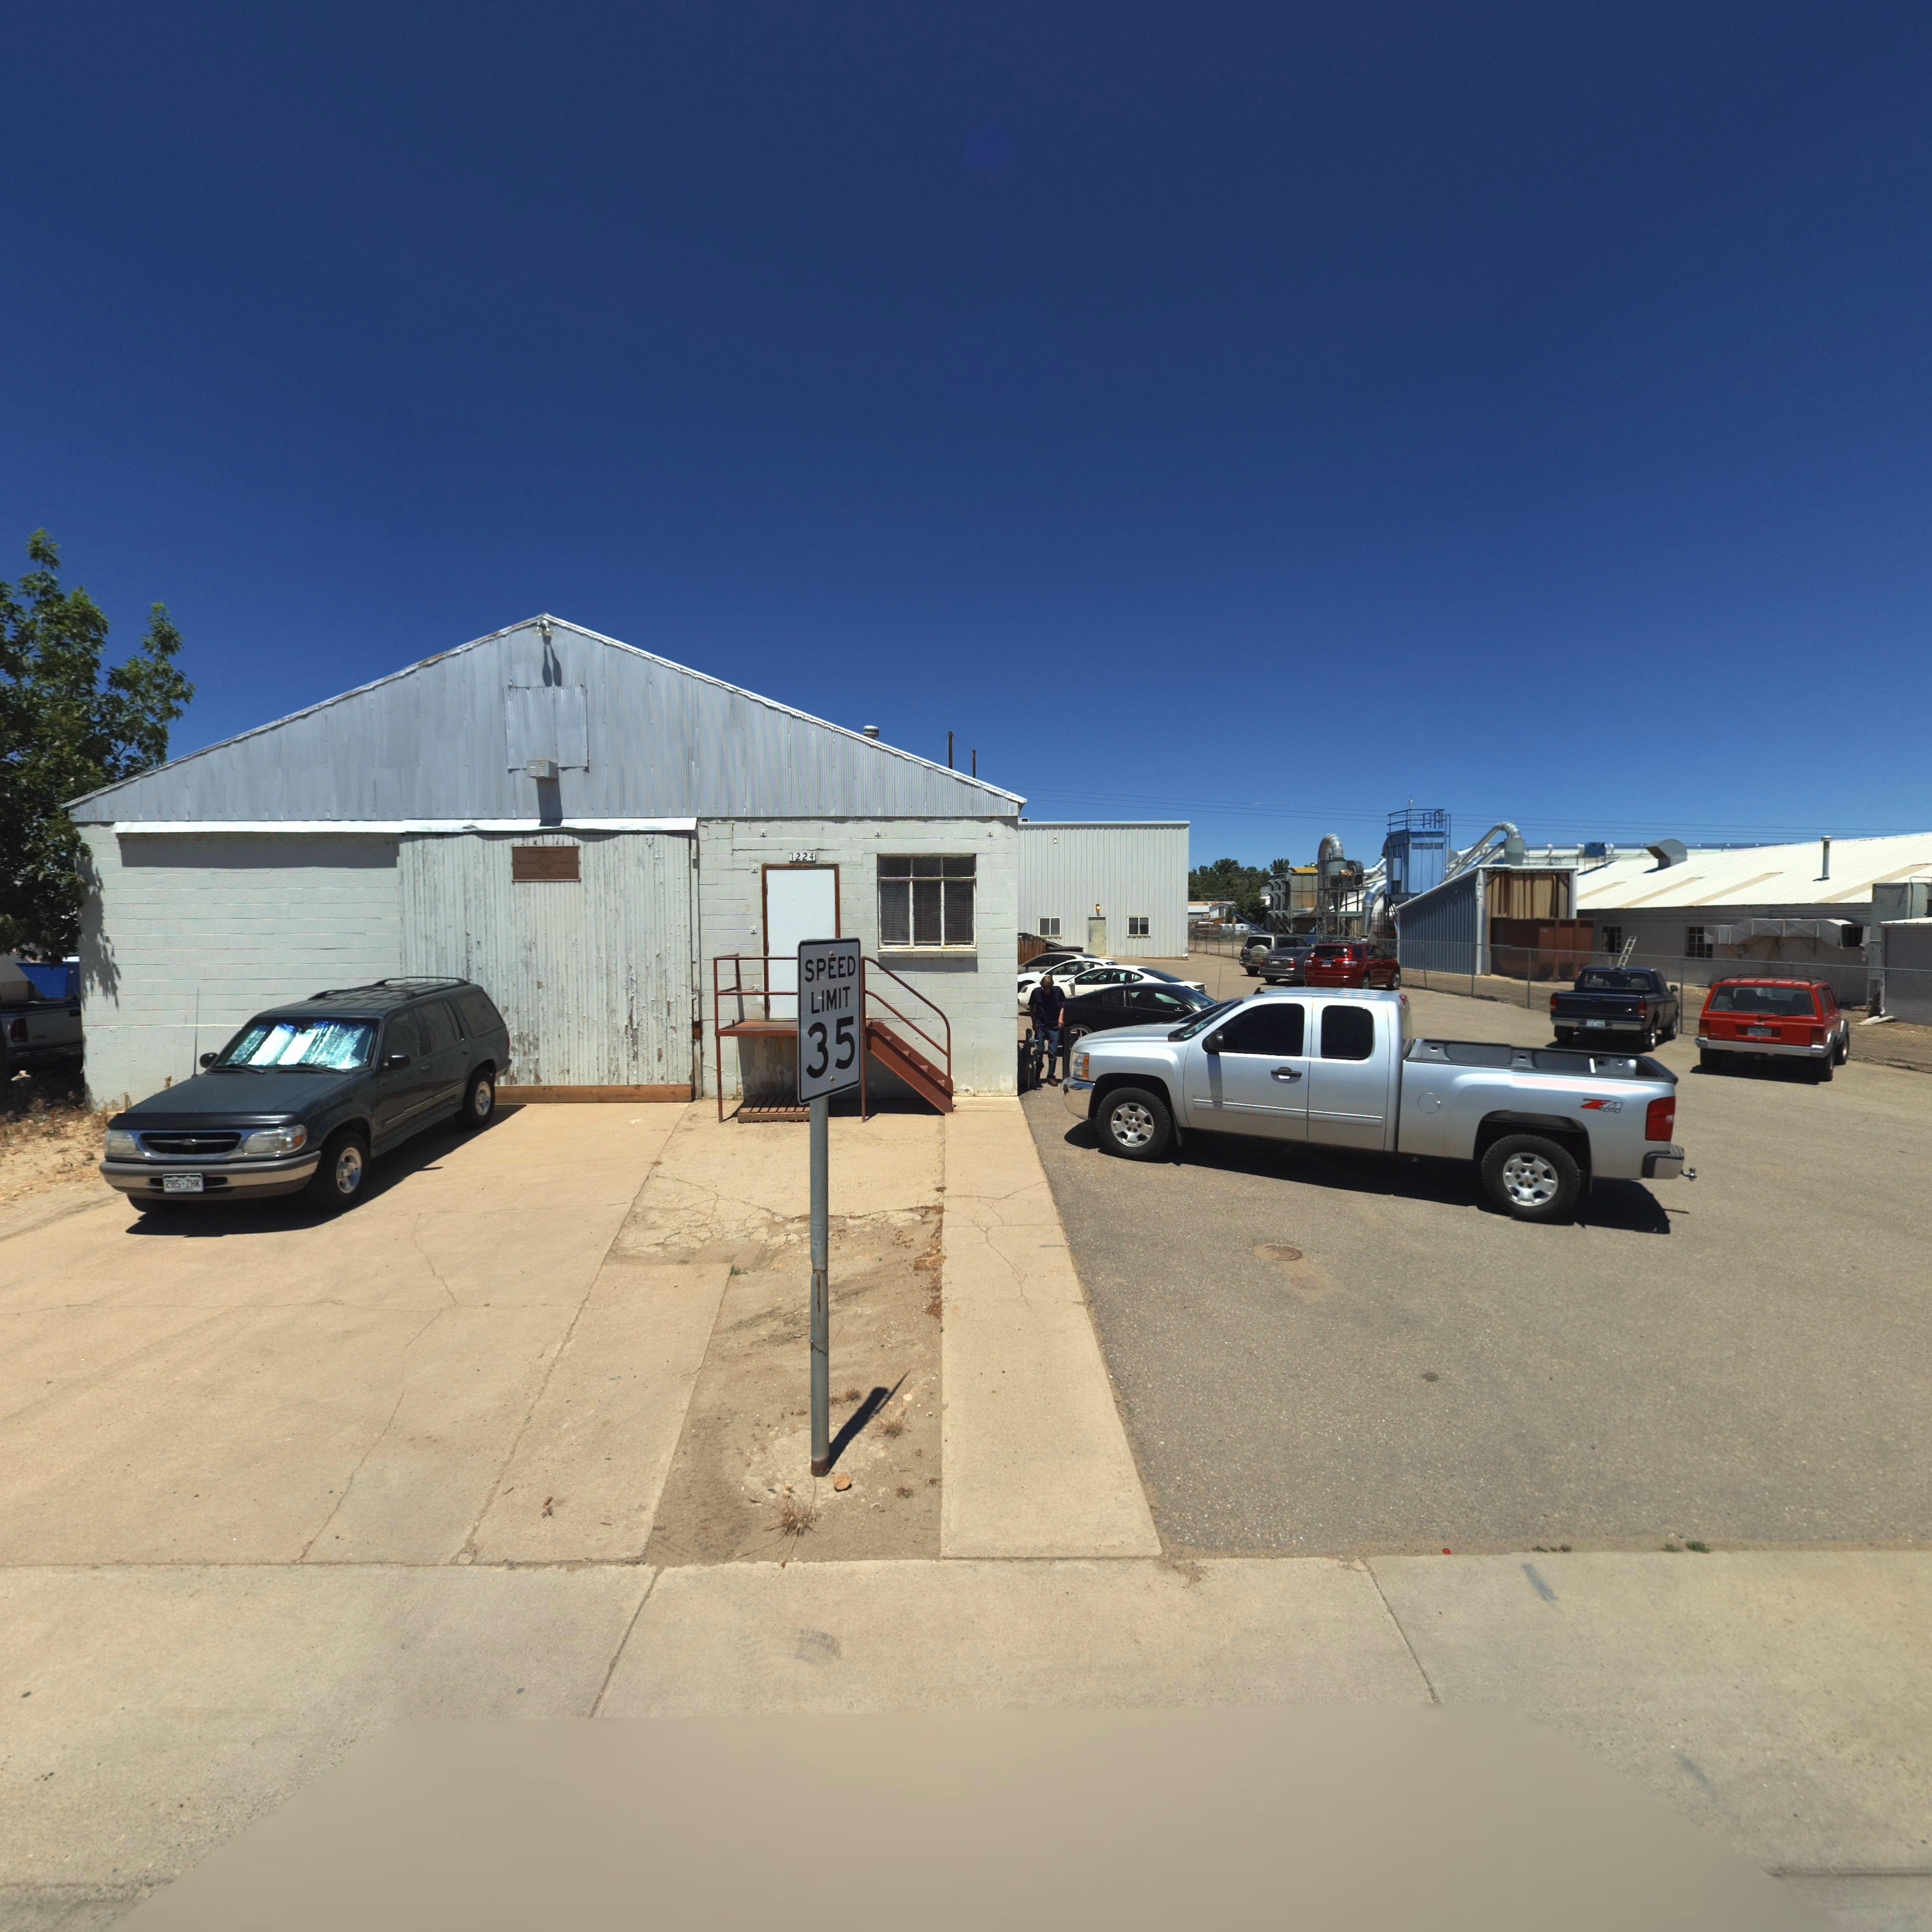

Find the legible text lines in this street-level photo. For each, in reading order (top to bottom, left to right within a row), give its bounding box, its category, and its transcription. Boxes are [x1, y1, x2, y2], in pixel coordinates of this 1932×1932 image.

[791, 852, 814, 860] StreetNumber: 1224